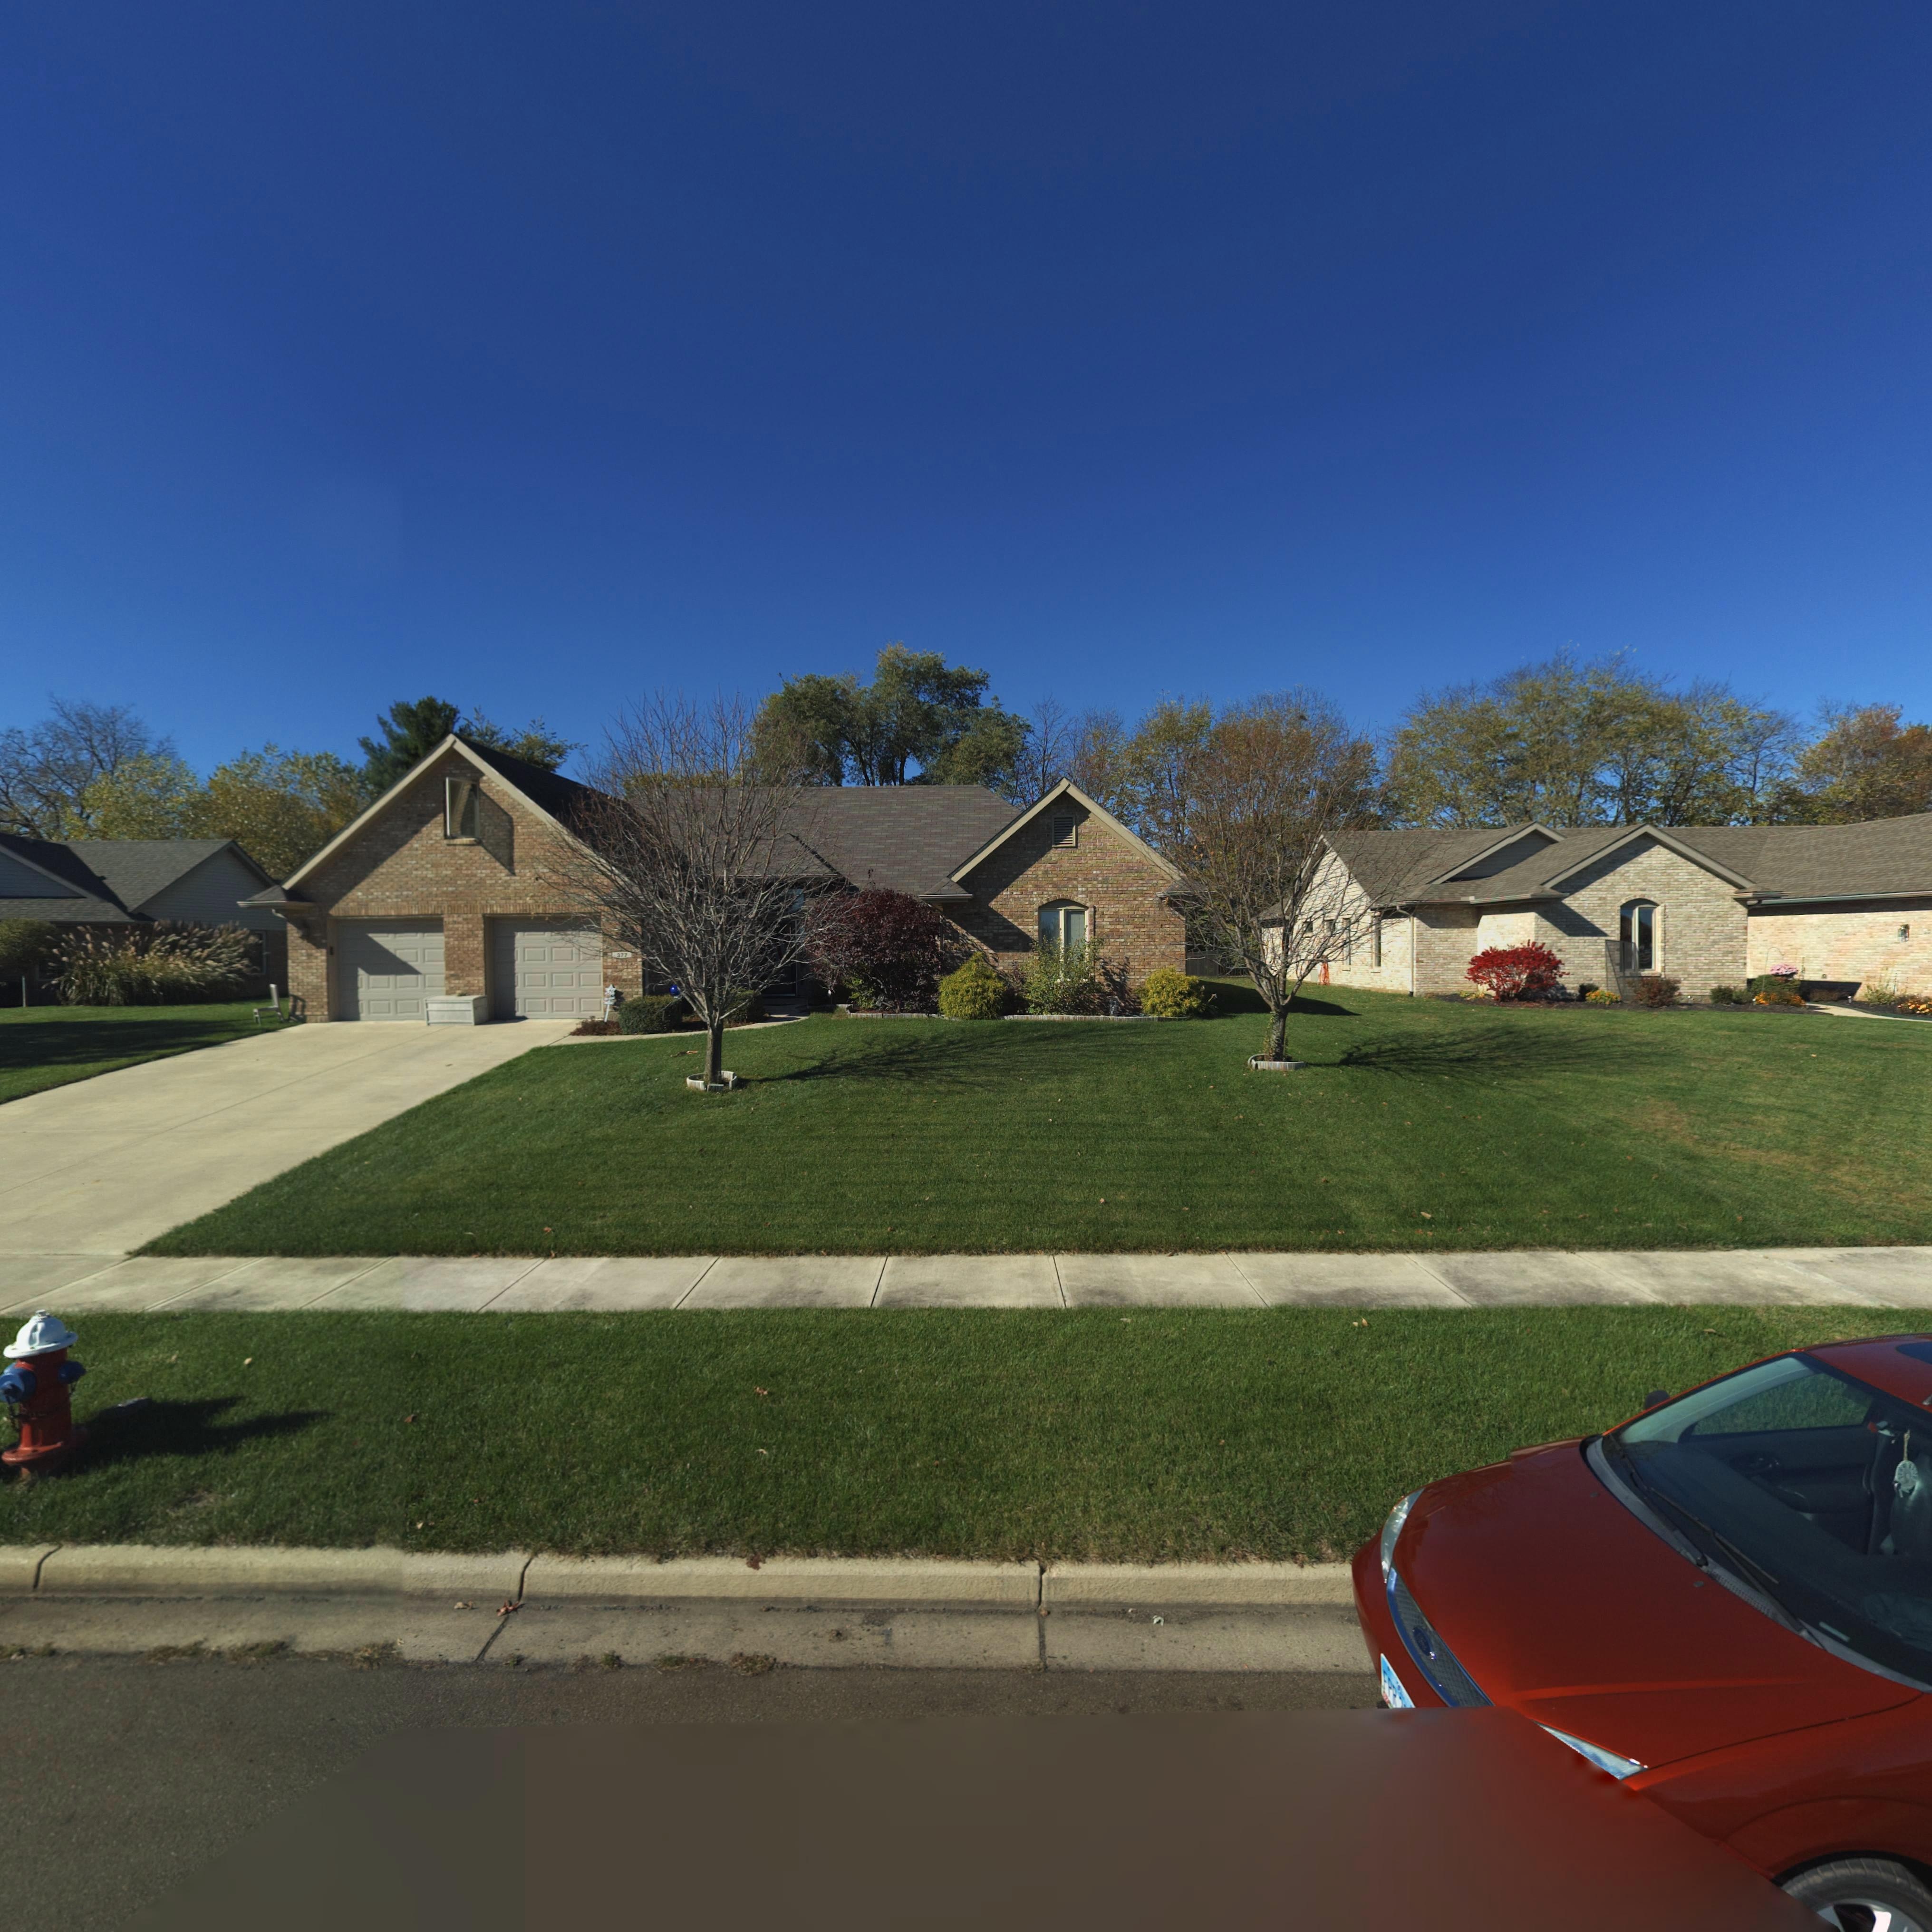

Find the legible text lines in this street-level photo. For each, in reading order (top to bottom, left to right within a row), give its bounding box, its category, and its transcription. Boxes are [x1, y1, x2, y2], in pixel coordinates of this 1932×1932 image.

[616, 953, 628, 957] StreetNumber: 377